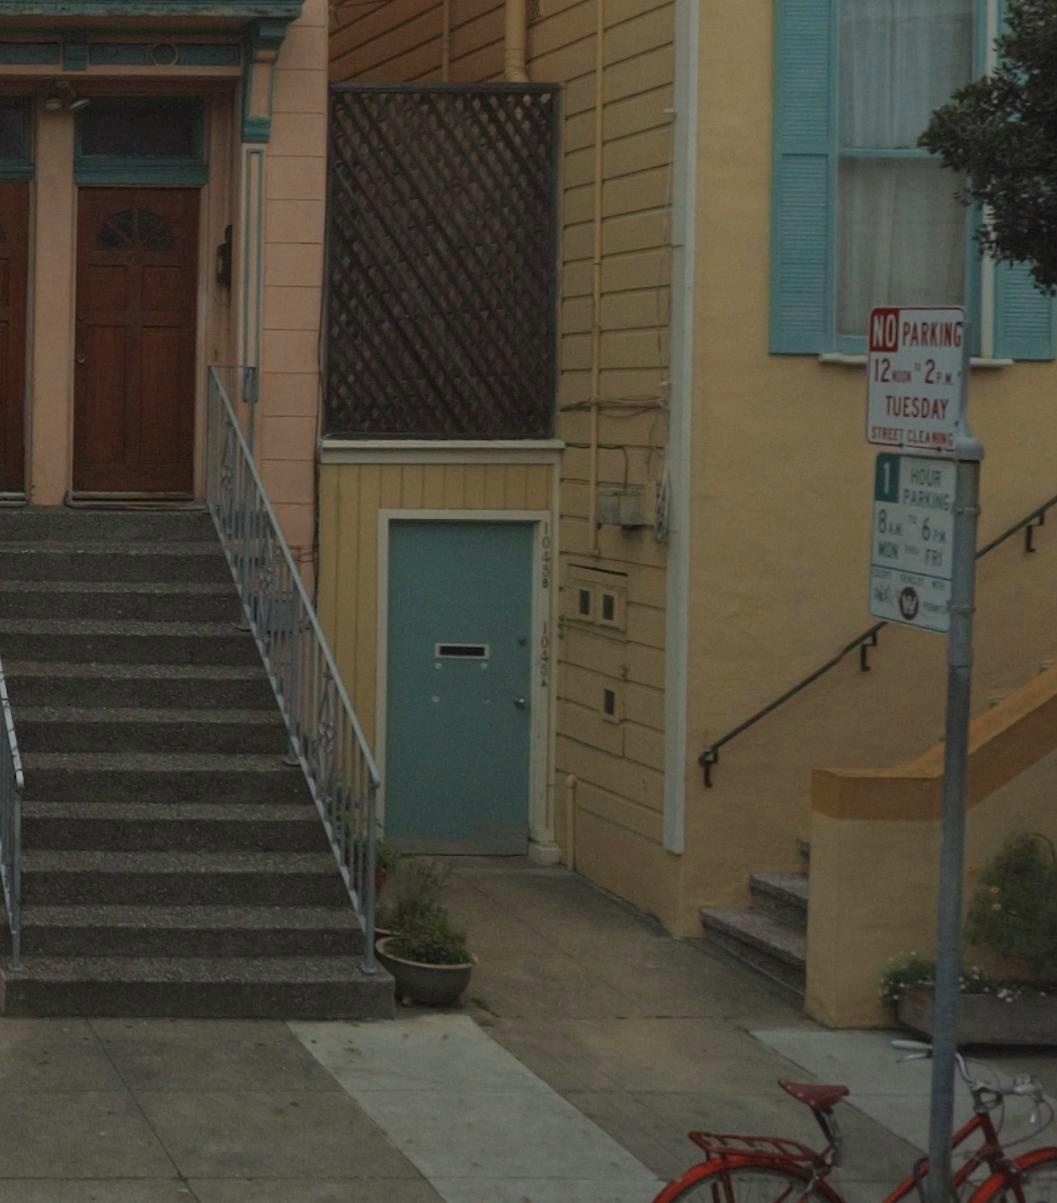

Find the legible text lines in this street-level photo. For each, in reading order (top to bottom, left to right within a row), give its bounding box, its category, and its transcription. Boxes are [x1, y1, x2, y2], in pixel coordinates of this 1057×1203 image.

[870, 312, 965, 349] None: NO PARKING
[873, 357, 893, 384] None: 12
[922, 356, 955, 385] None: 2PM
[883, 394, 953, 421] None: TUESDAY
[869, 424, 956, 448] None: STREET CLEANING
[882, 457, 893, 497] None: 1
[908, 465, 945, 490] None: HOUR
[901, 485, 952, 512] None: PARKING
[875, 505, 907, 538] None: 8AM
[919, 513, 948, 546] None: 6PM
[539, 518, 552, 591] StreetNumber: 1045B
[876, 537, 902, 562] None: MON
[923, 546, 945, 570] None: FRI
[898, 590, 922, 619] None: W
[537, 621, 551, 689] StreetNumber: 1045A